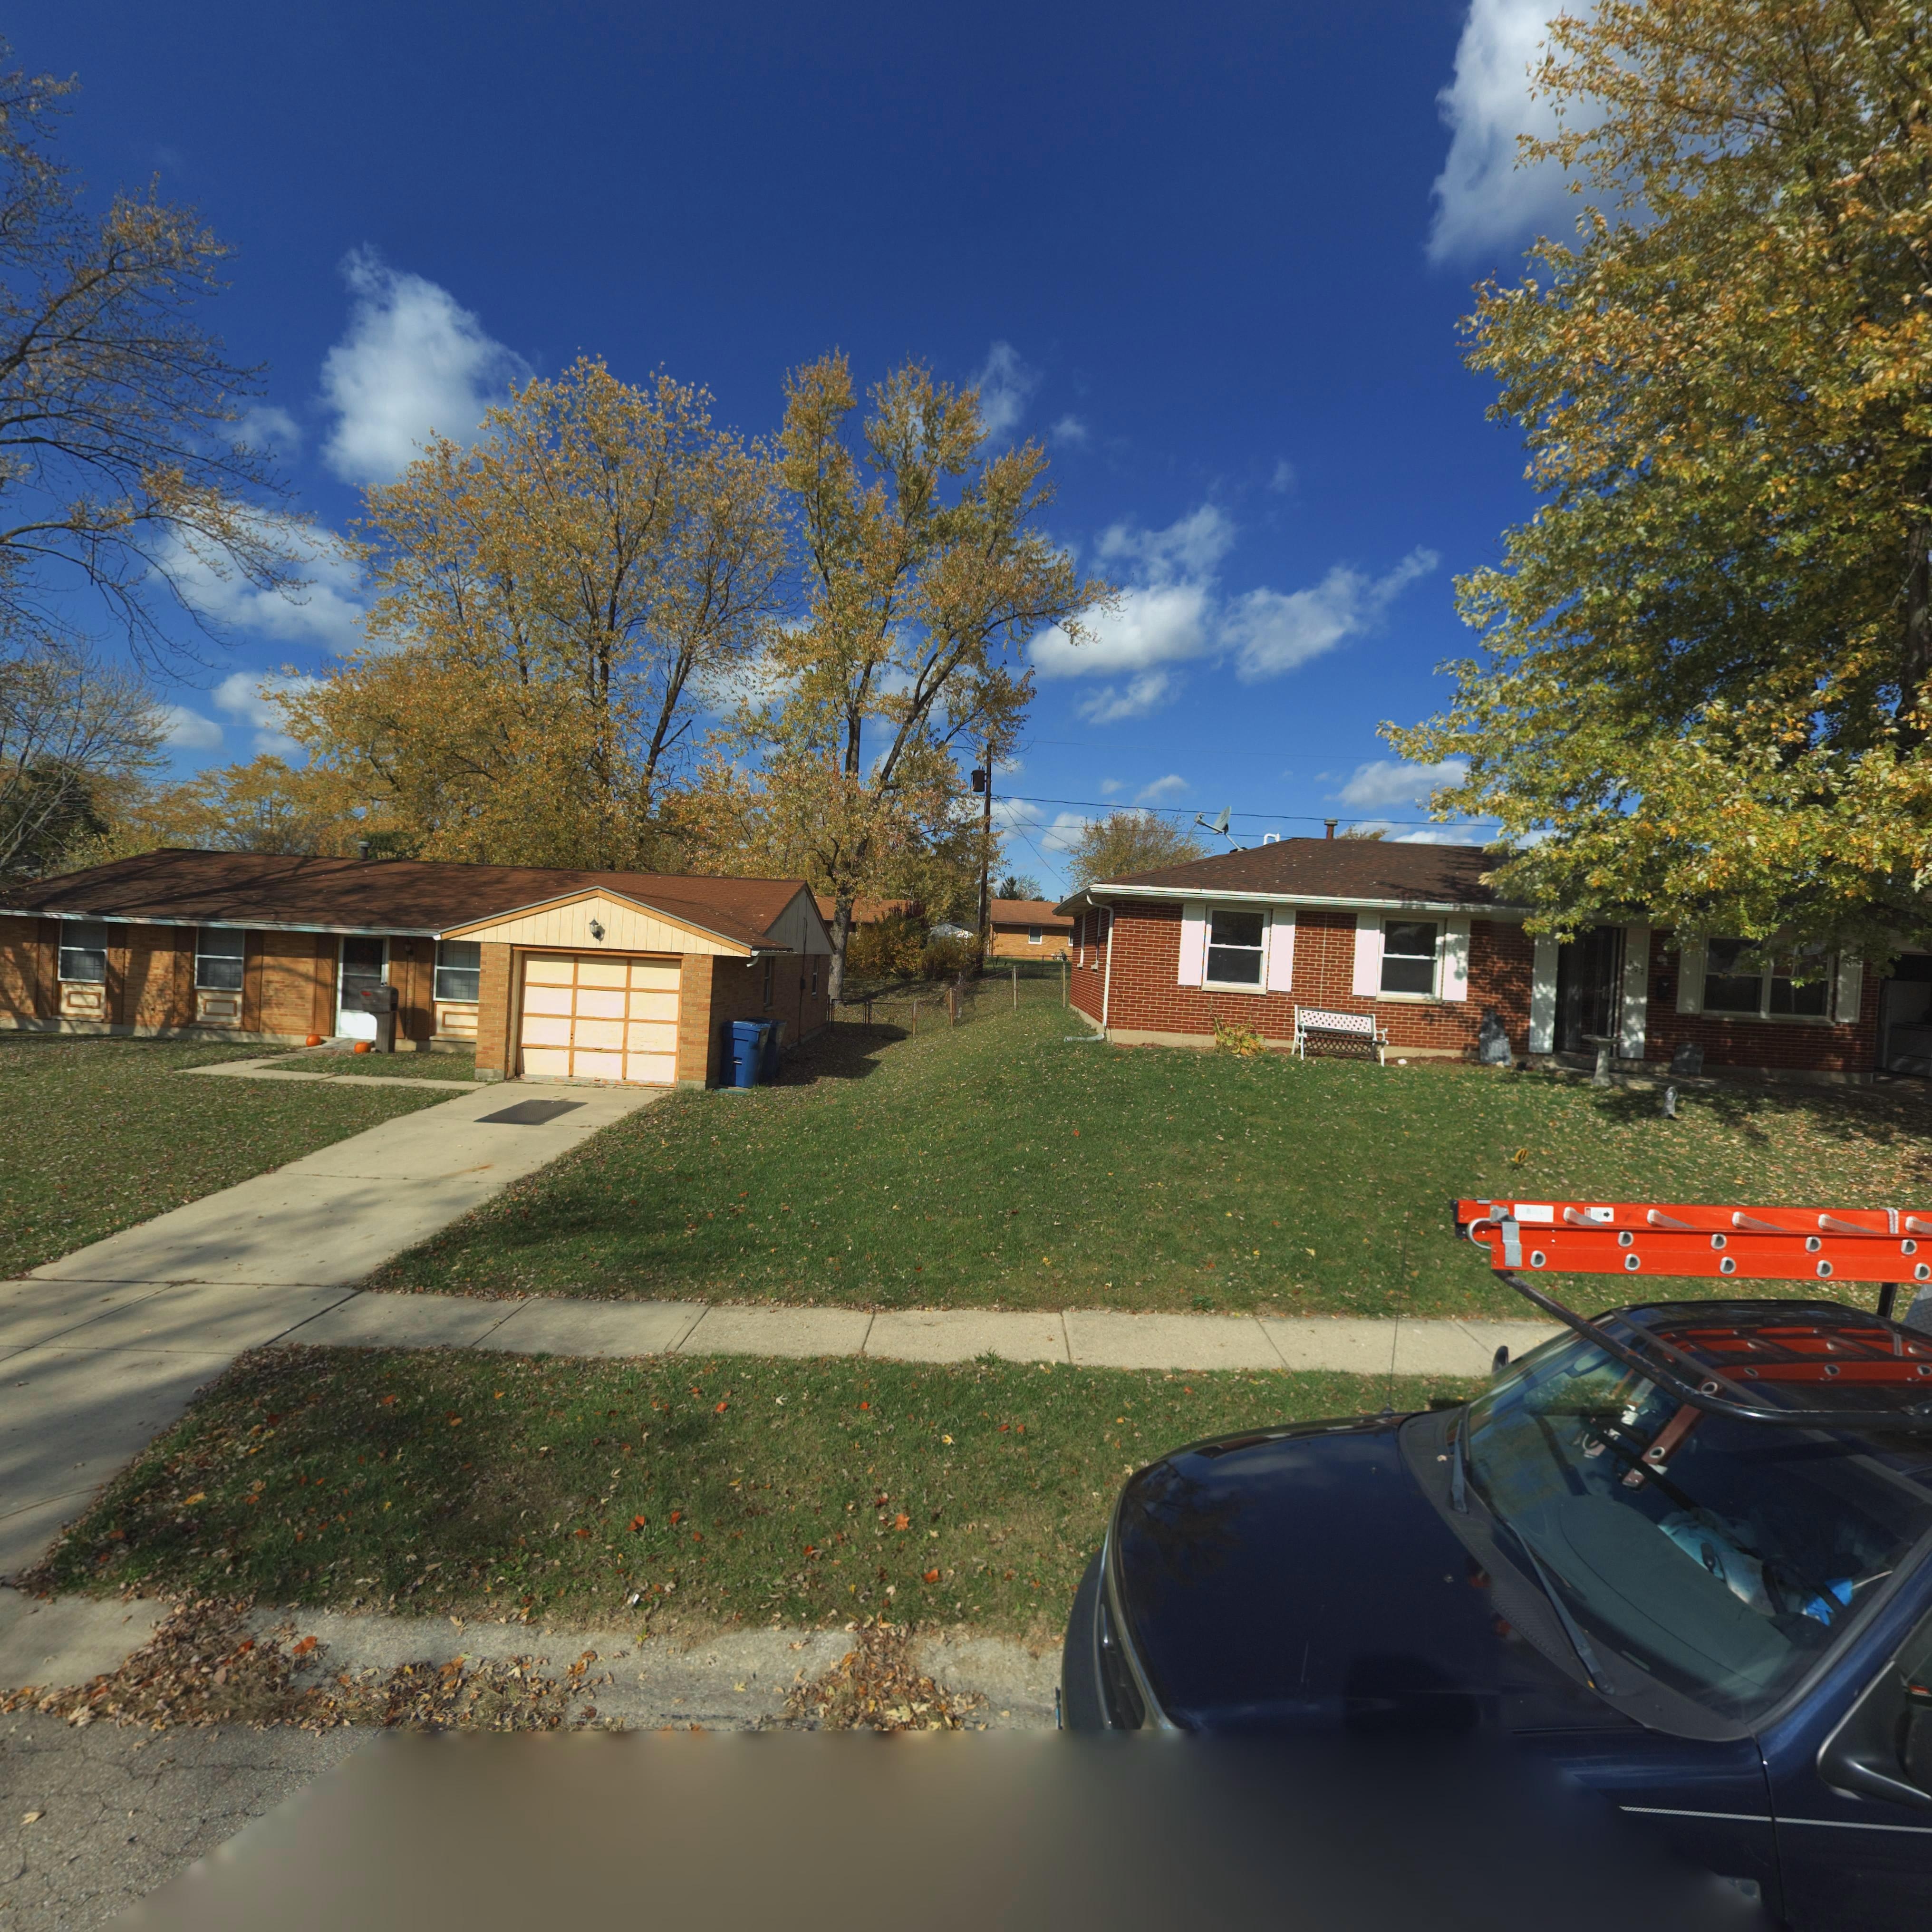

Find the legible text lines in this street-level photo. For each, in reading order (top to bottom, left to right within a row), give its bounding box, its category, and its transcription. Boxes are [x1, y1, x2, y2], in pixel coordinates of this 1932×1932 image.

[1627, 959, 1645, 976] StreetNumber: 7*77